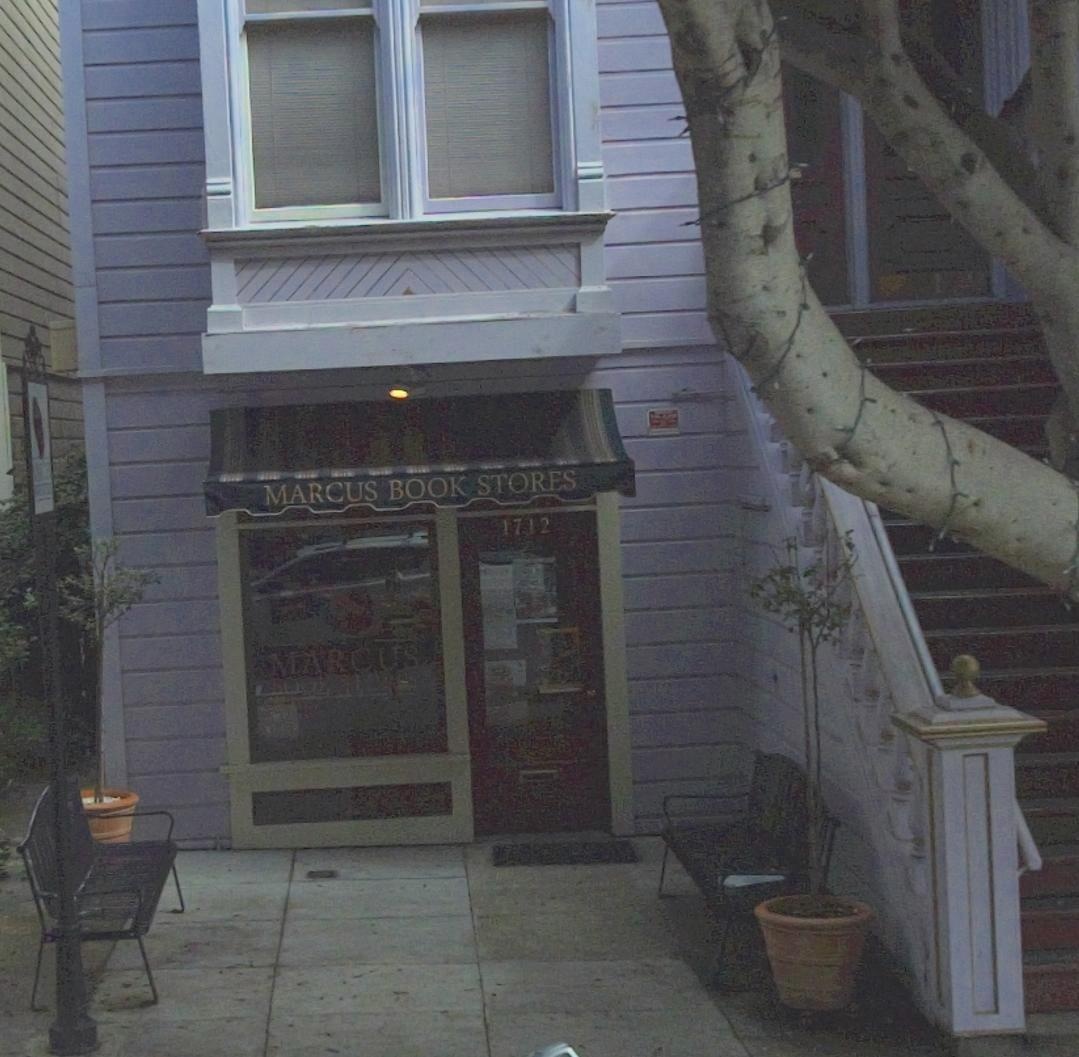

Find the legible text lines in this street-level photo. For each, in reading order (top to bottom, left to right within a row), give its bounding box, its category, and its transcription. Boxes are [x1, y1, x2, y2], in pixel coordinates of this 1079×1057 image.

[261, 466, 580, 509] BusinessName: MARCUS BOOK STORES
[499, 513, 554, 539] StreetNumber: 1712
[267, 641, 423, 681] BusinessName: MARCUS